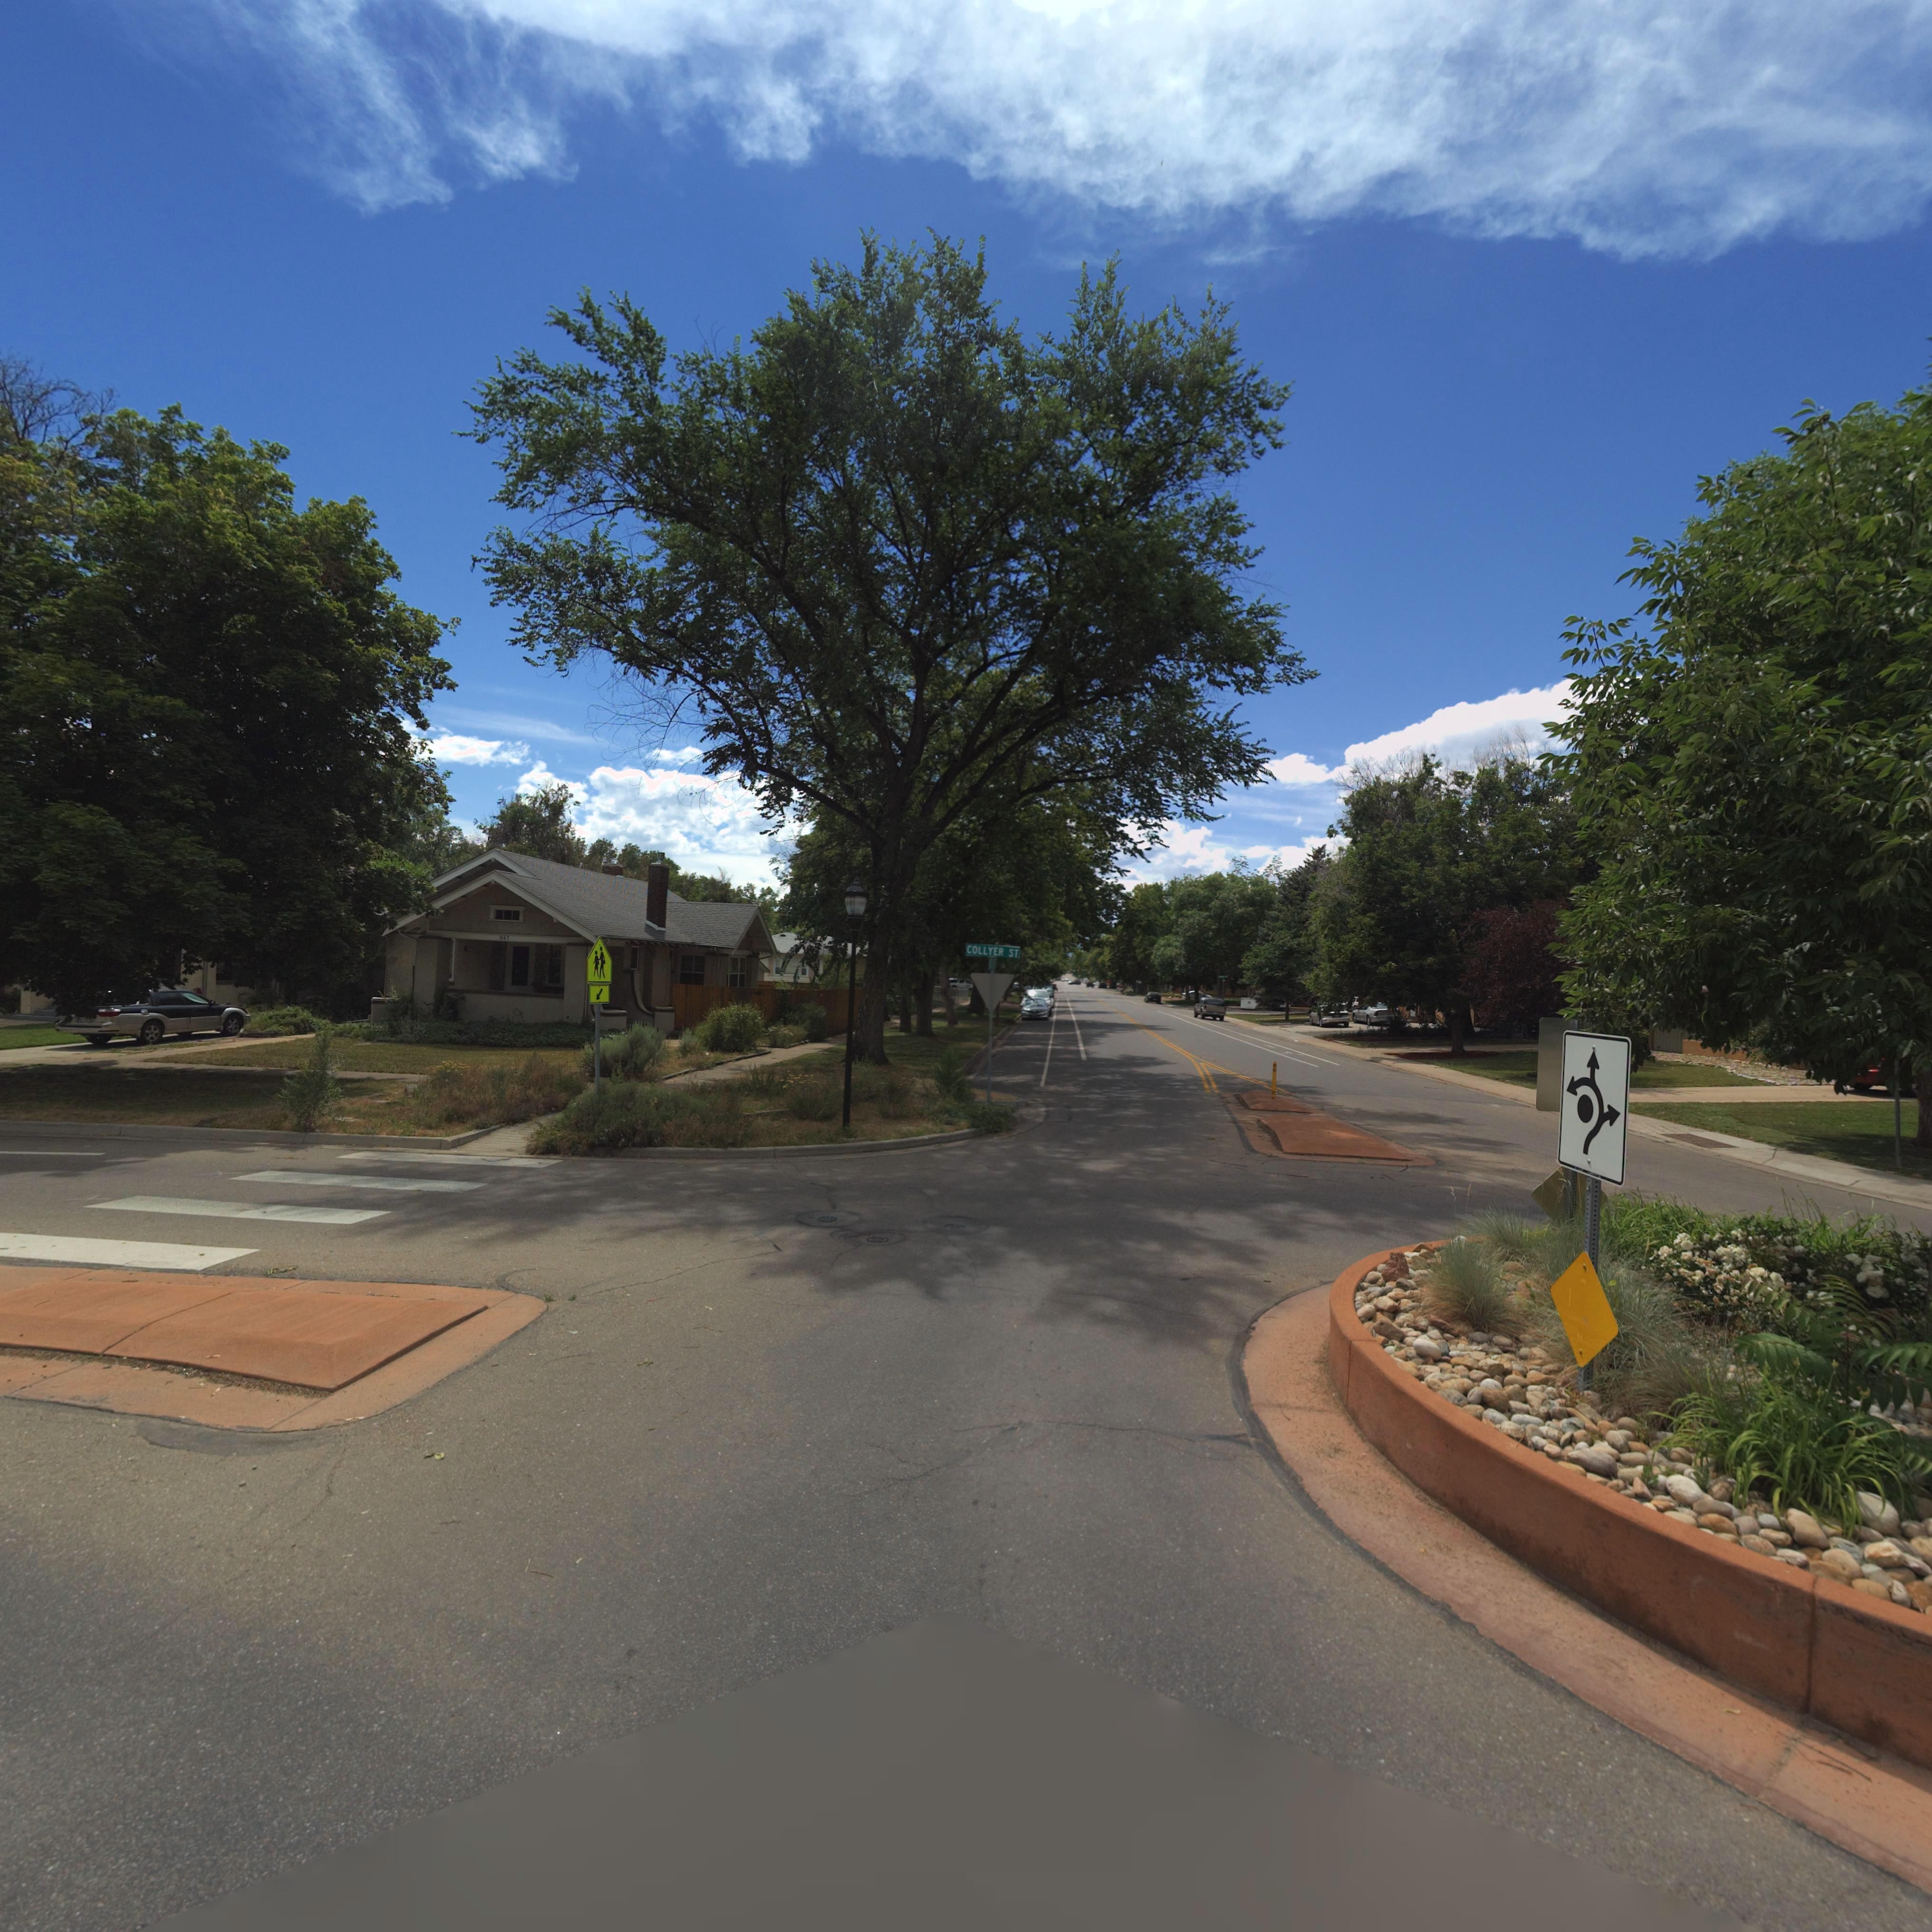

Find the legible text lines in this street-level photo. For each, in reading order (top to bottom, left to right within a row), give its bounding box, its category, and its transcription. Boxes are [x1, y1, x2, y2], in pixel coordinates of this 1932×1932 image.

[498, 934, 510, 941] StreetNumber: 647
[966, 944, 1019, 958] StreetName: COLLYER ST